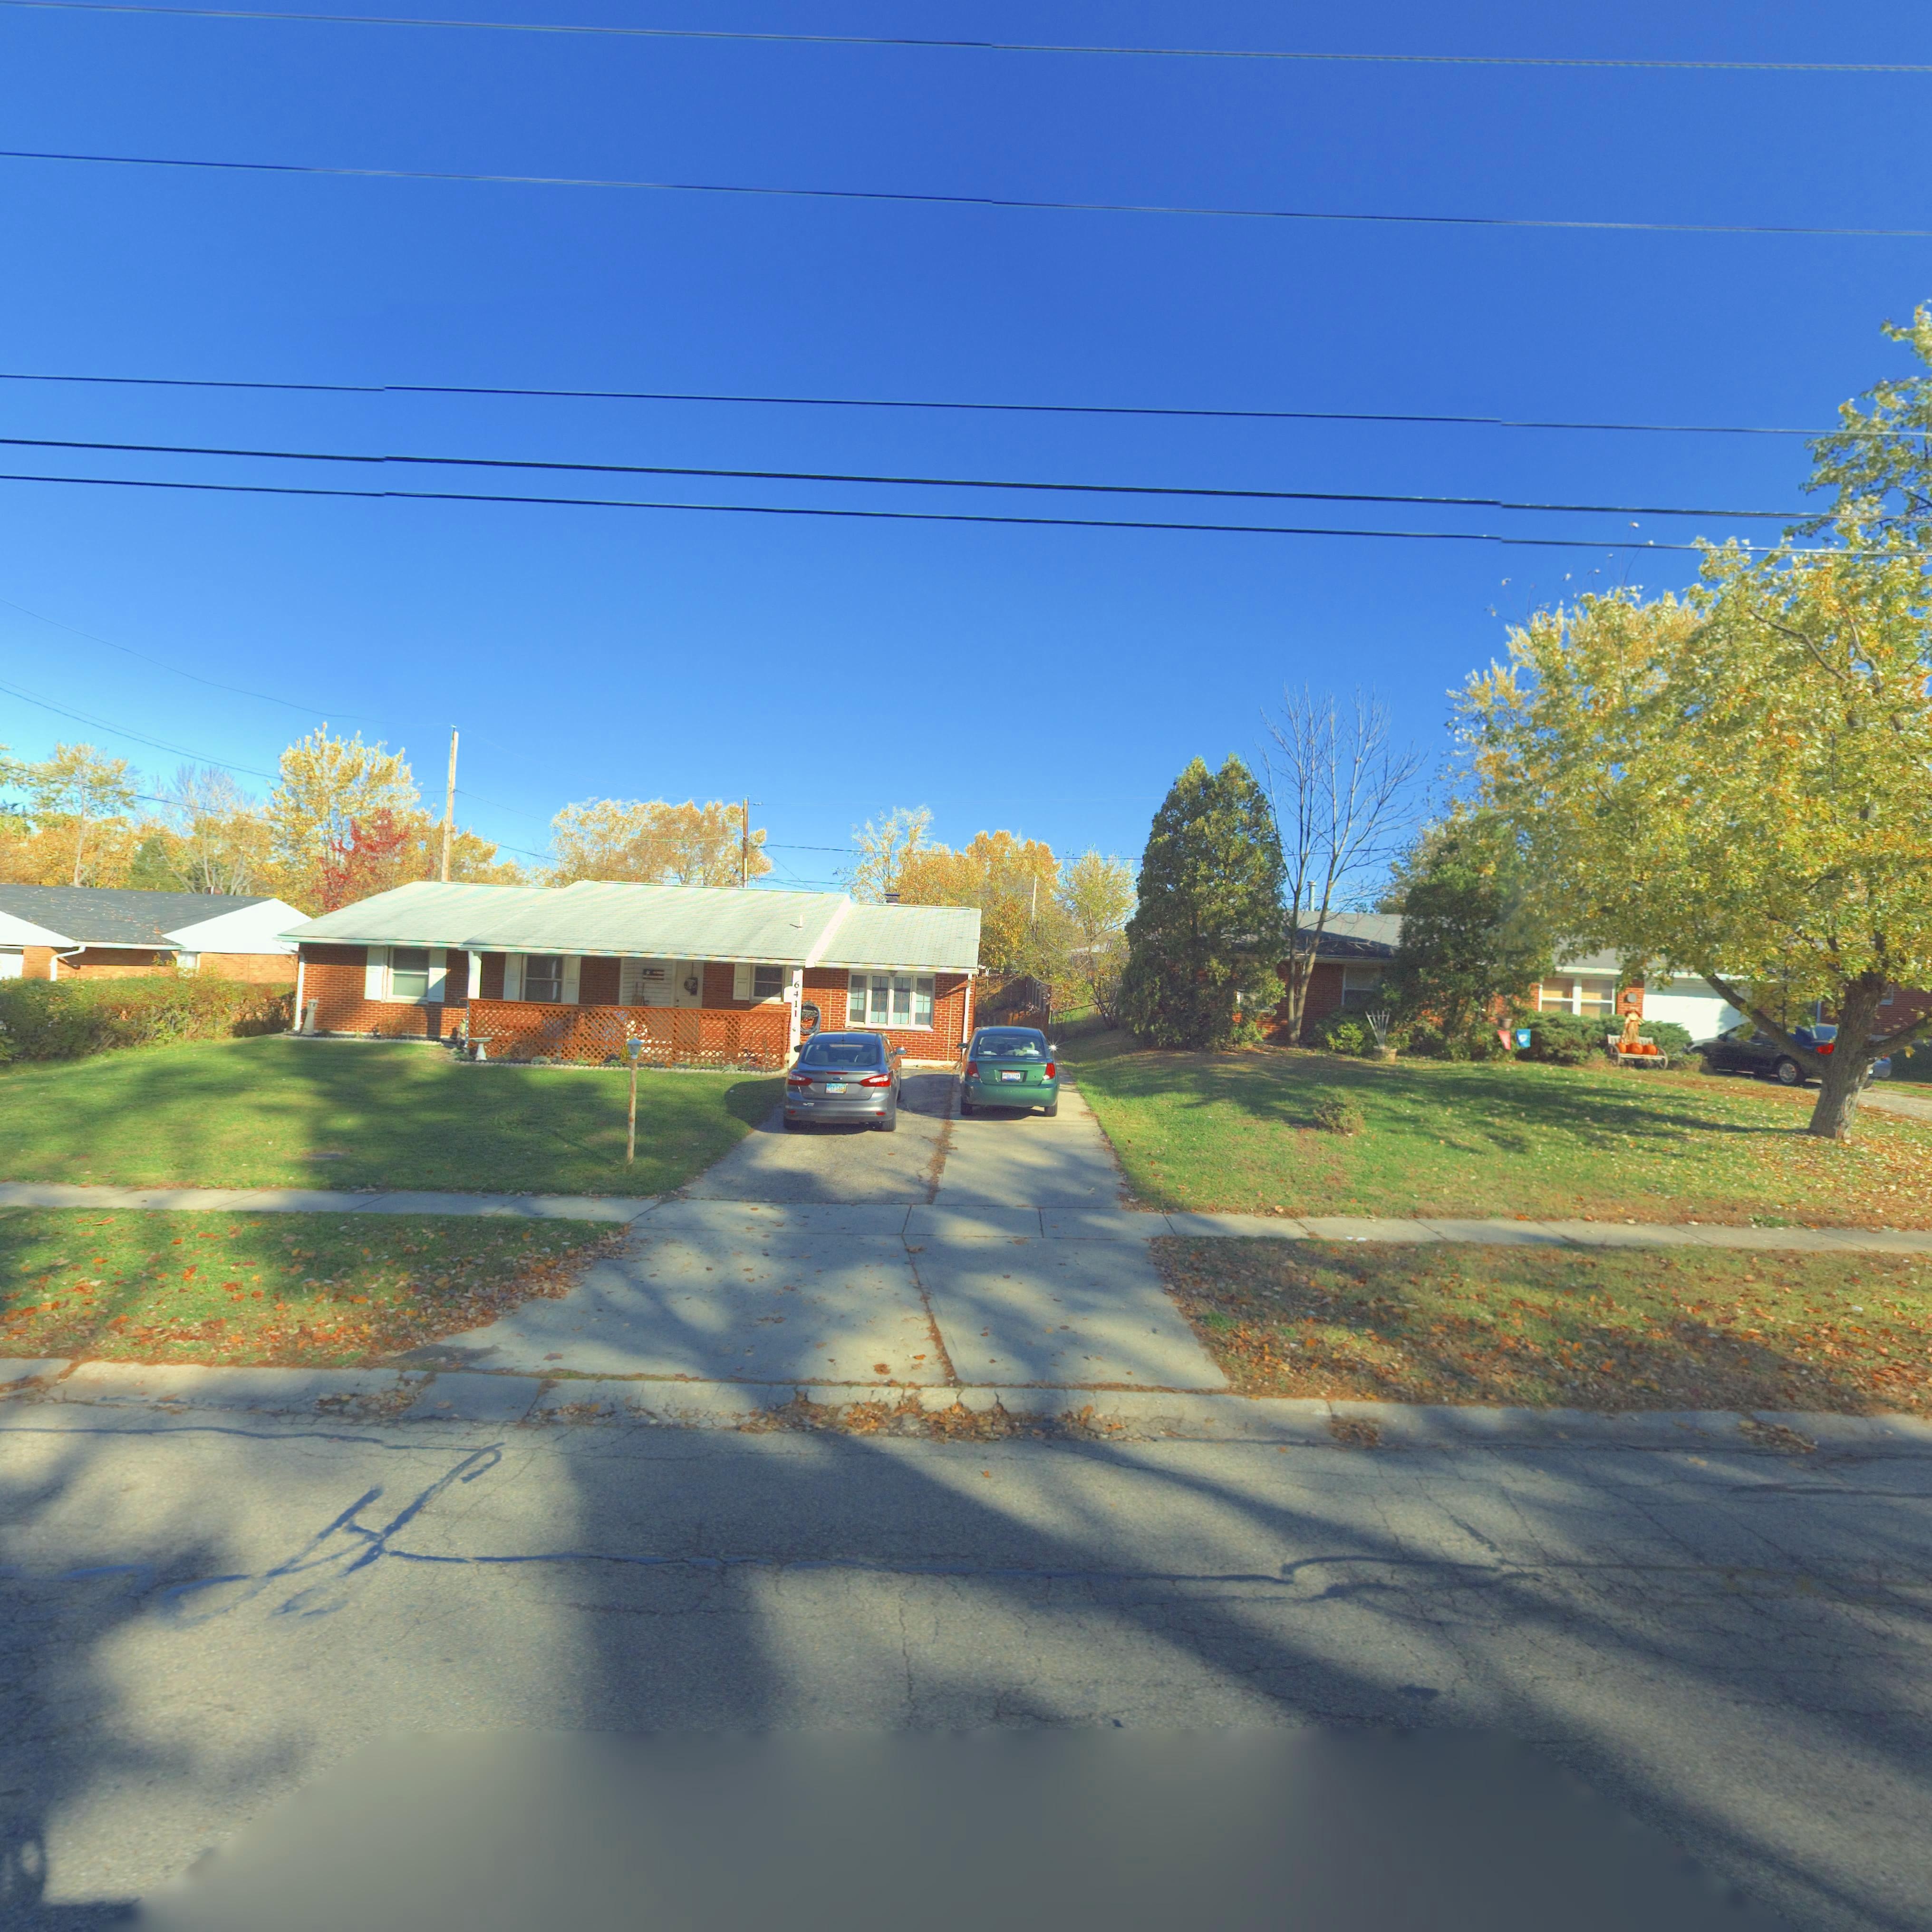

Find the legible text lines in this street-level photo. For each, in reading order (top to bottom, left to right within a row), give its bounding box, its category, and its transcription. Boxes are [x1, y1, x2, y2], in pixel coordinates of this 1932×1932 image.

[792, 979, 801, 1018] StreetNumber: 6411